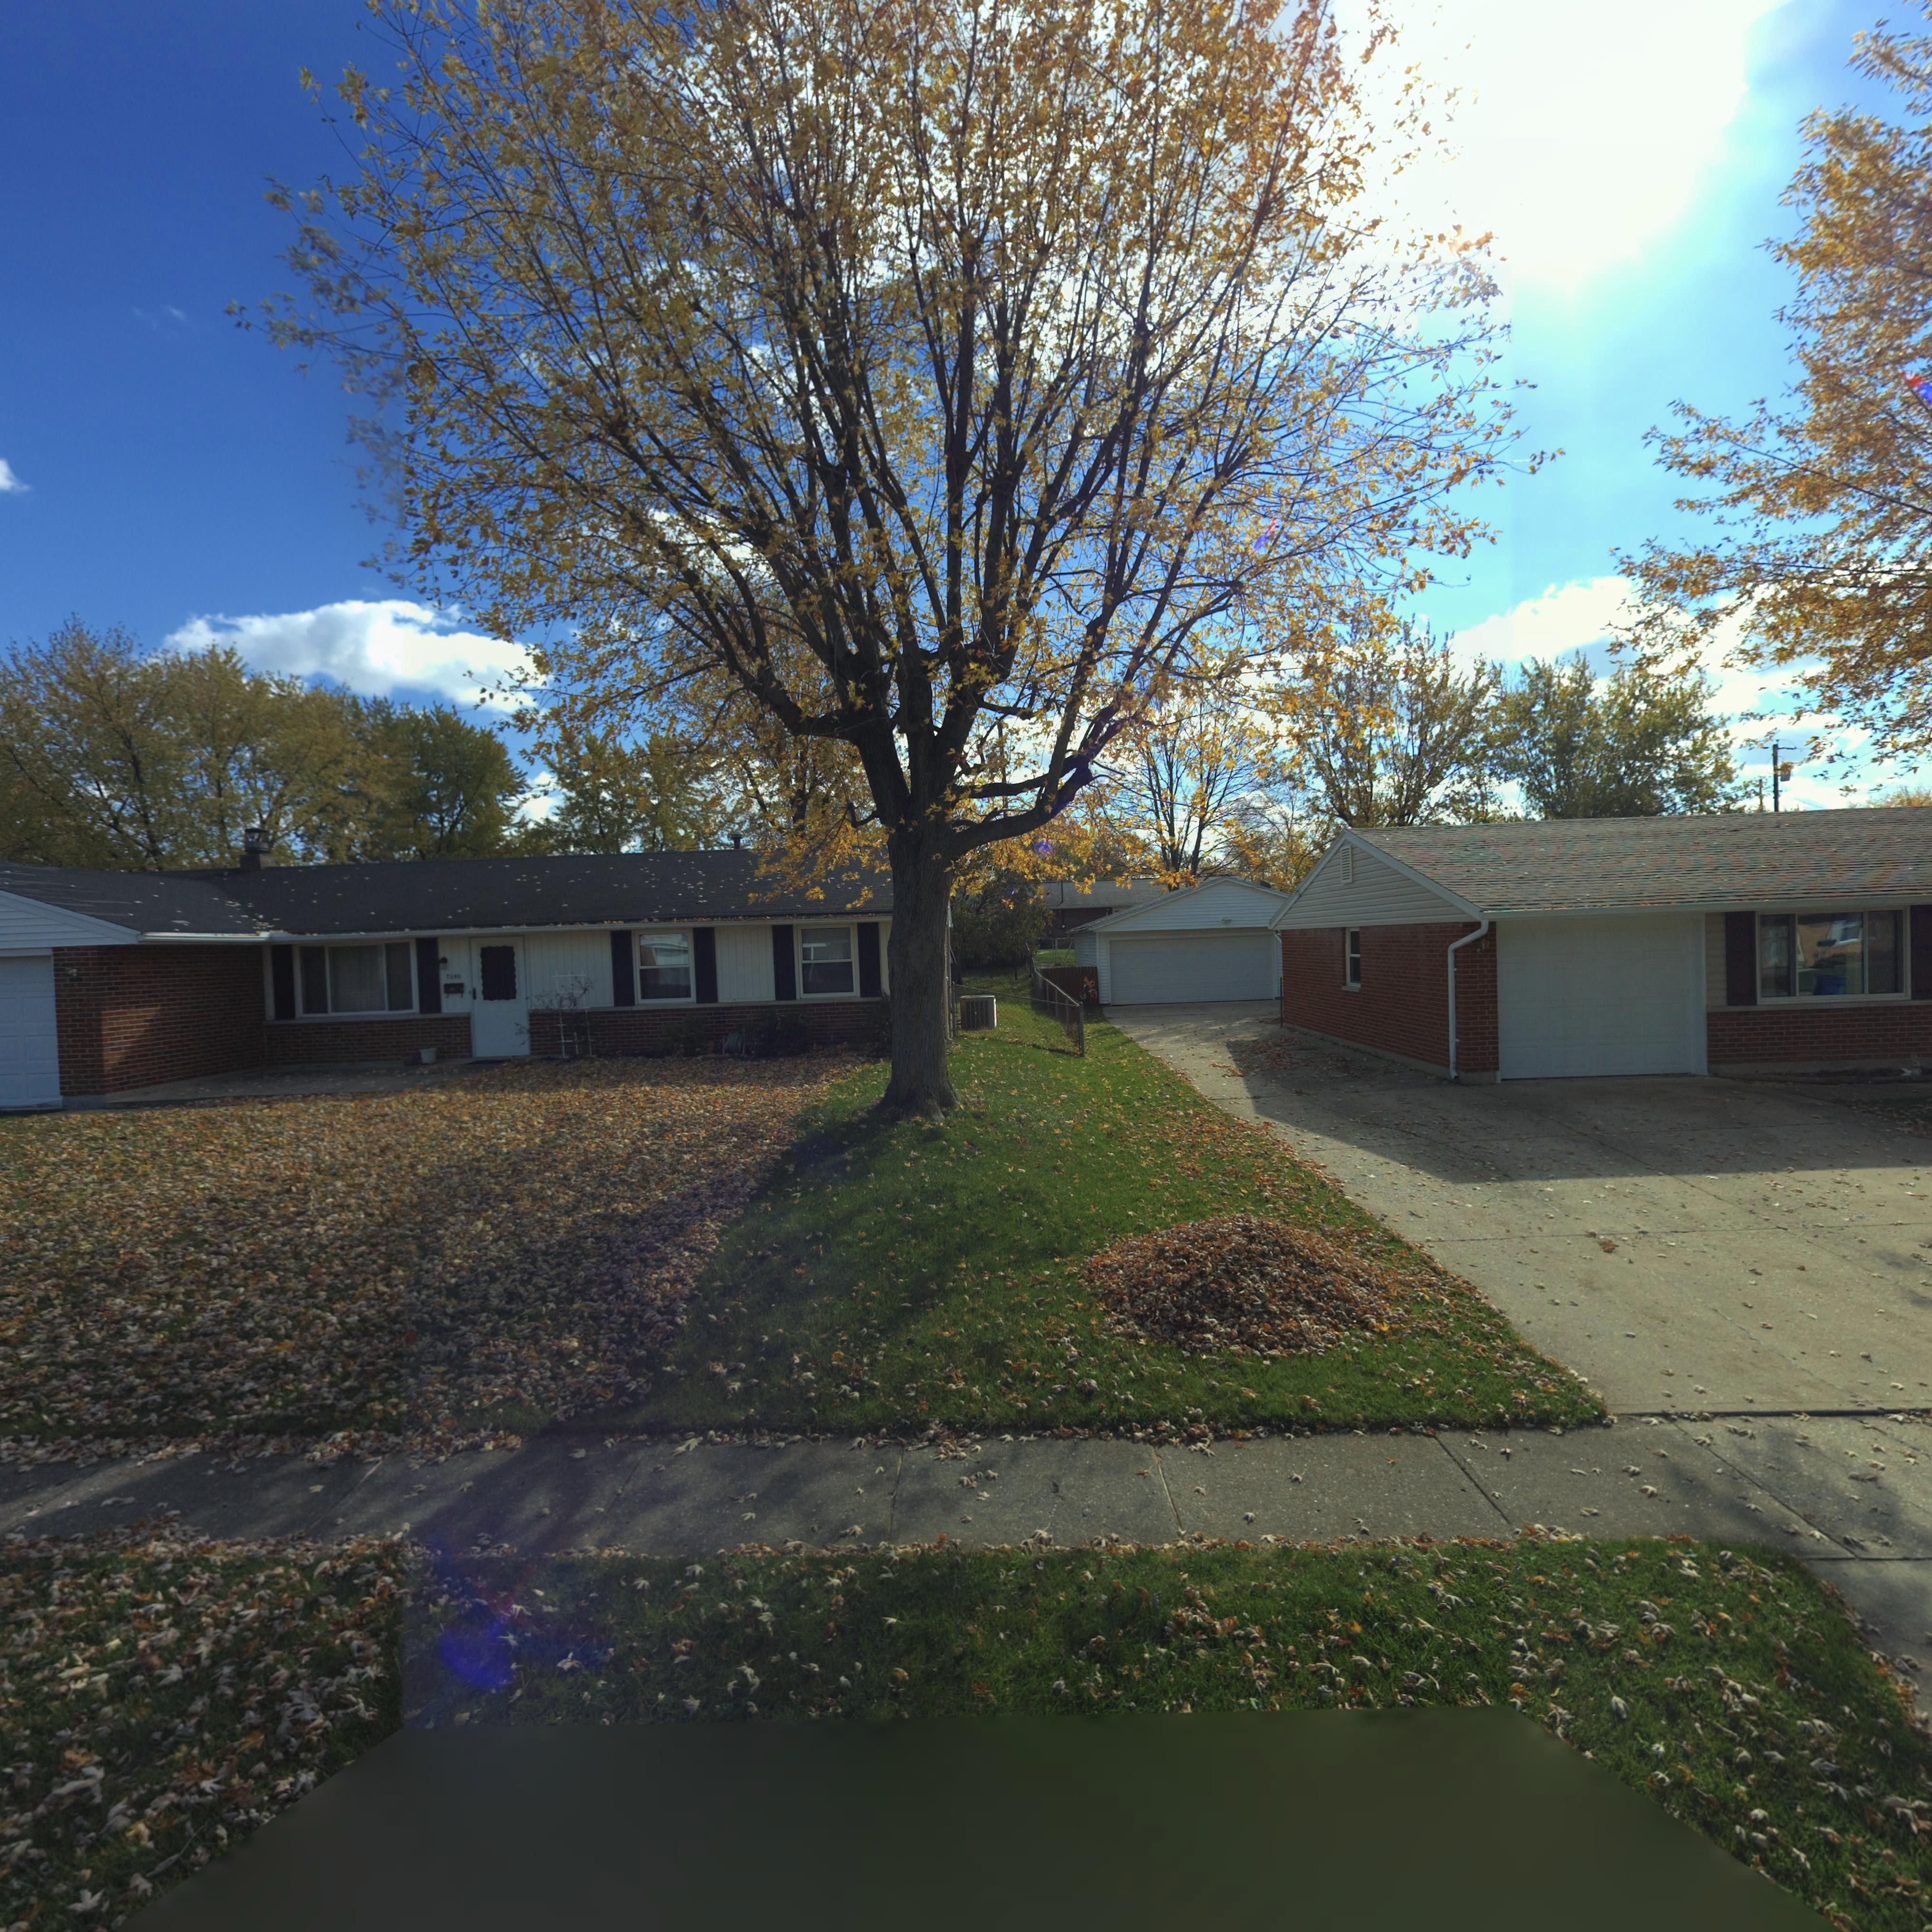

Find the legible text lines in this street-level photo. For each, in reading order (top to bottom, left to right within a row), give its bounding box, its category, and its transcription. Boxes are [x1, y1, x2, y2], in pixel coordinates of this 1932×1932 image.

[445, 973, 461, 979] StreetNumber: 7640